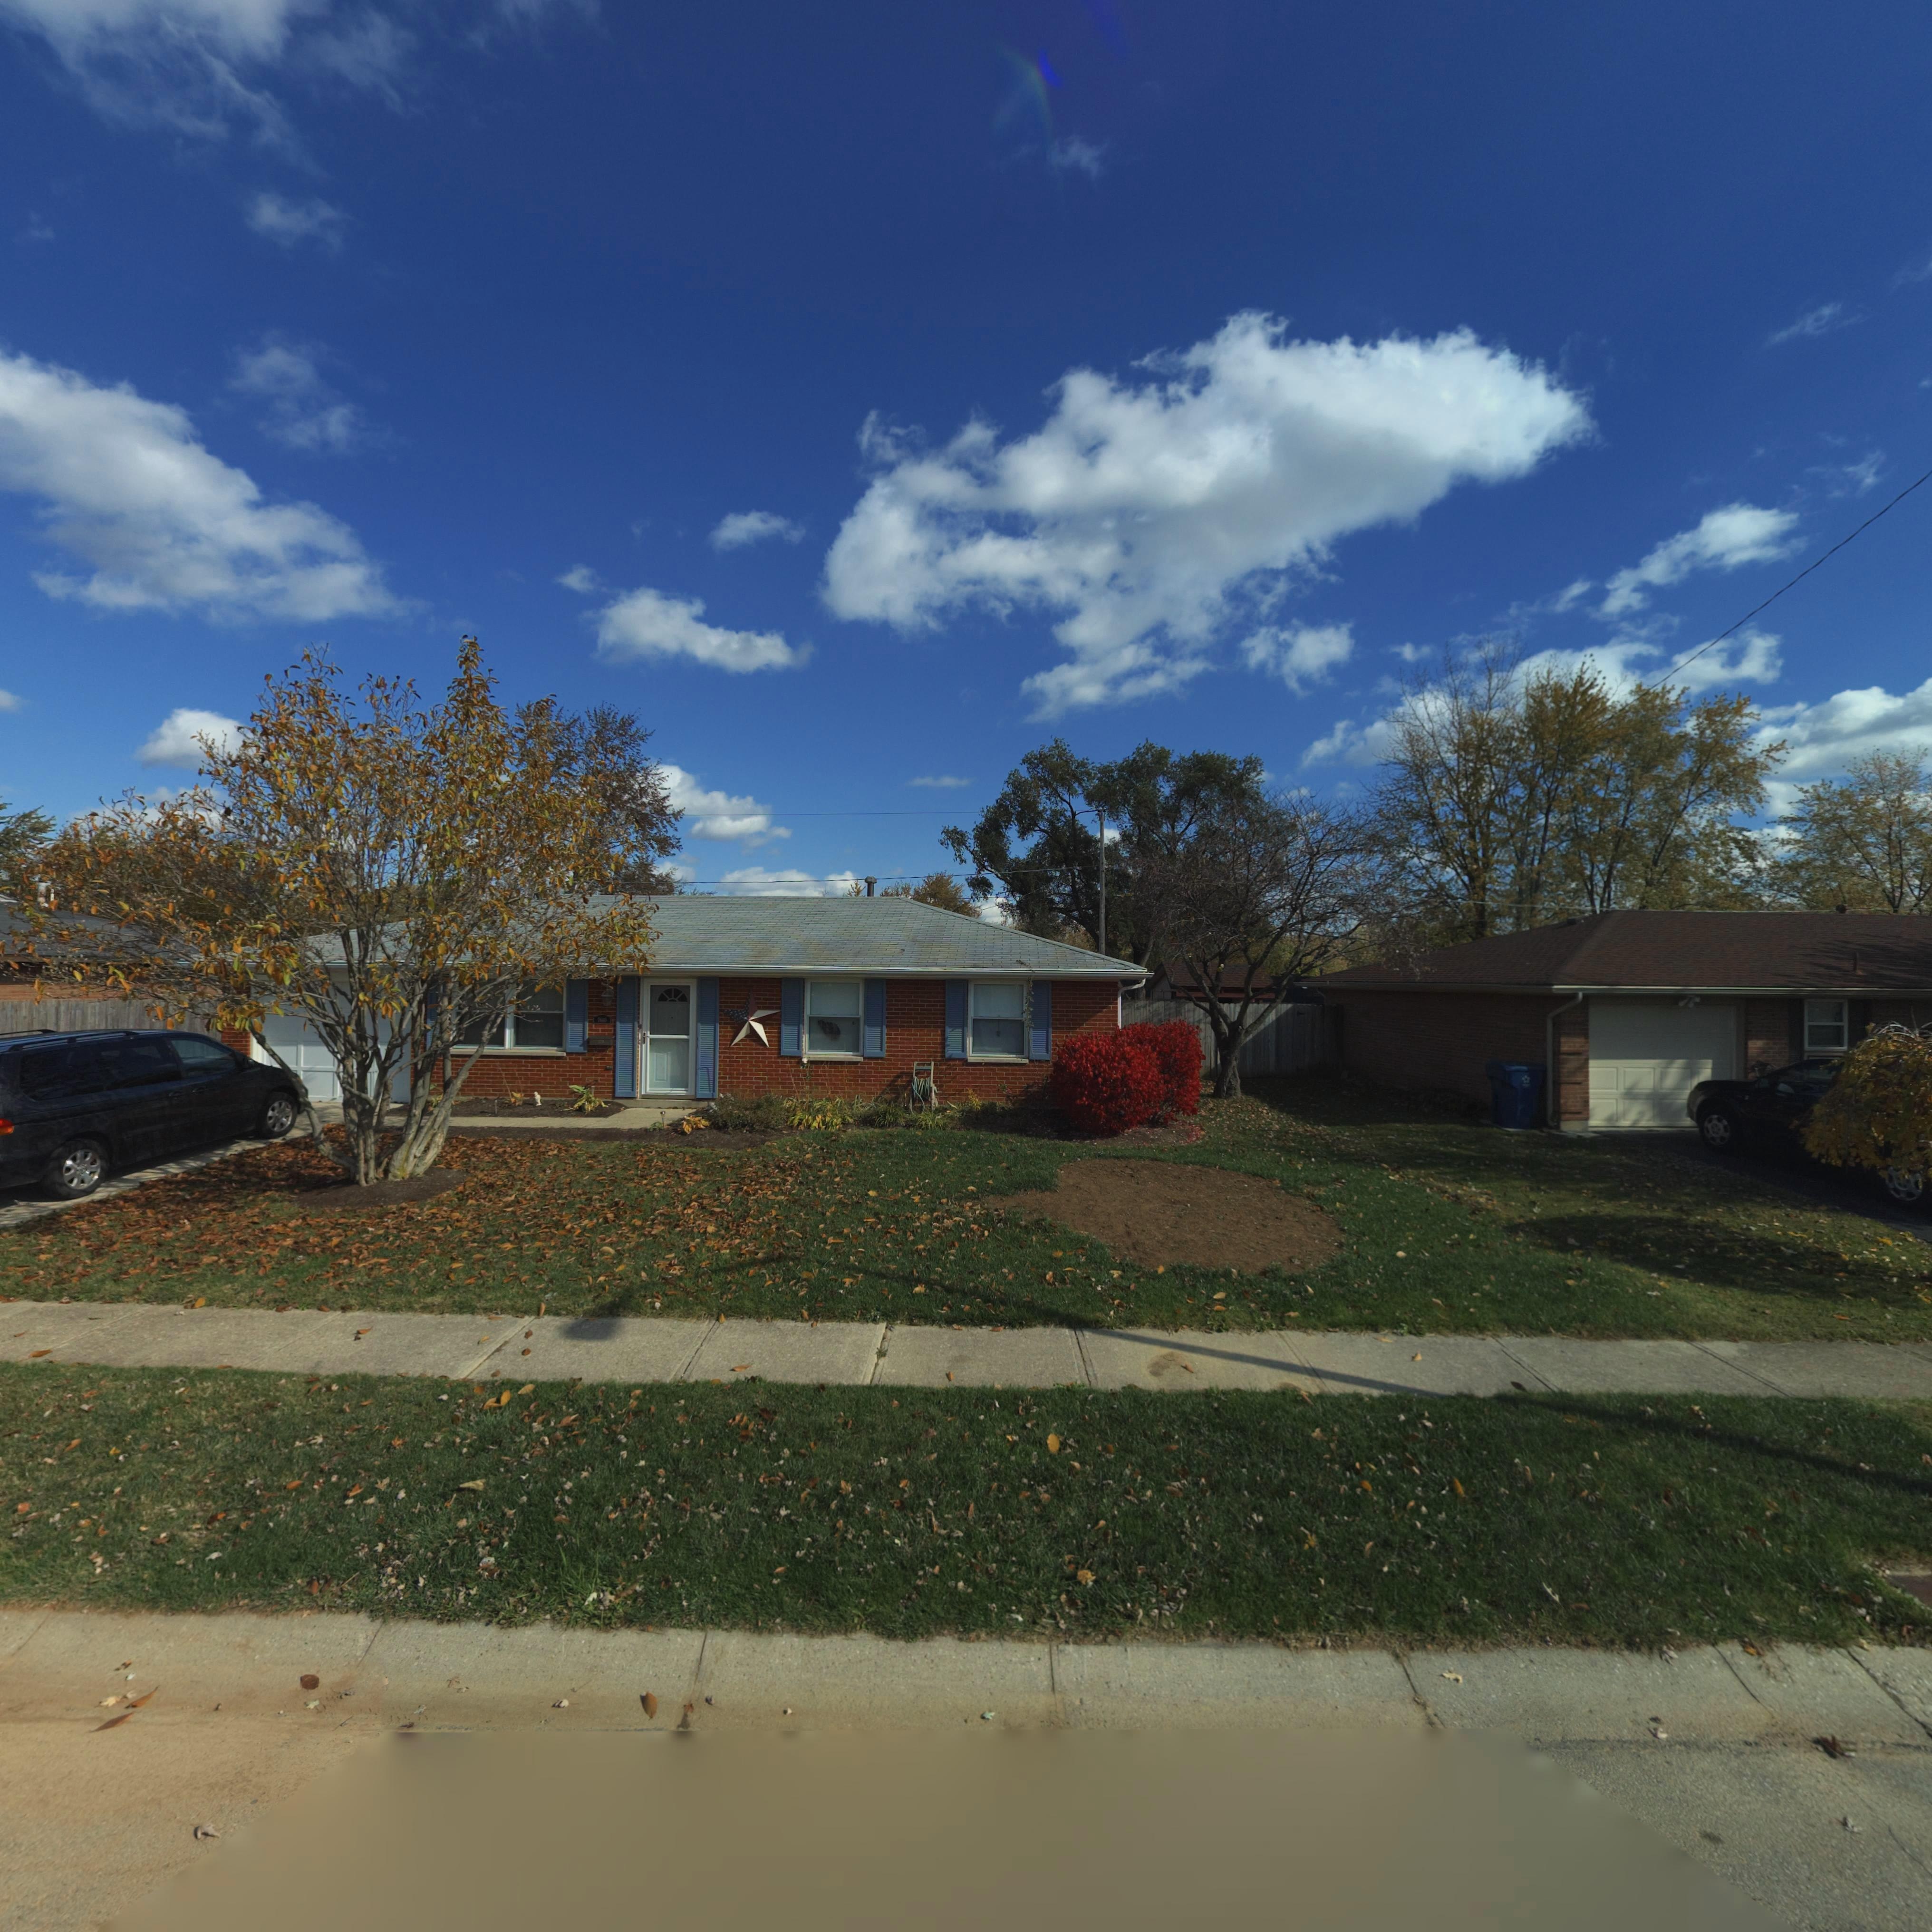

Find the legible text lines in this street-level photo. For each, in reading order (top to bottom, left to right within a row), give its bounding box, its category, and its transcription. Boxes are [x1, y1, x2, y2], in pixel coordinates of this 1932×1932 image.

[597, 1017, 607, 1023] StreetNumber: 7660